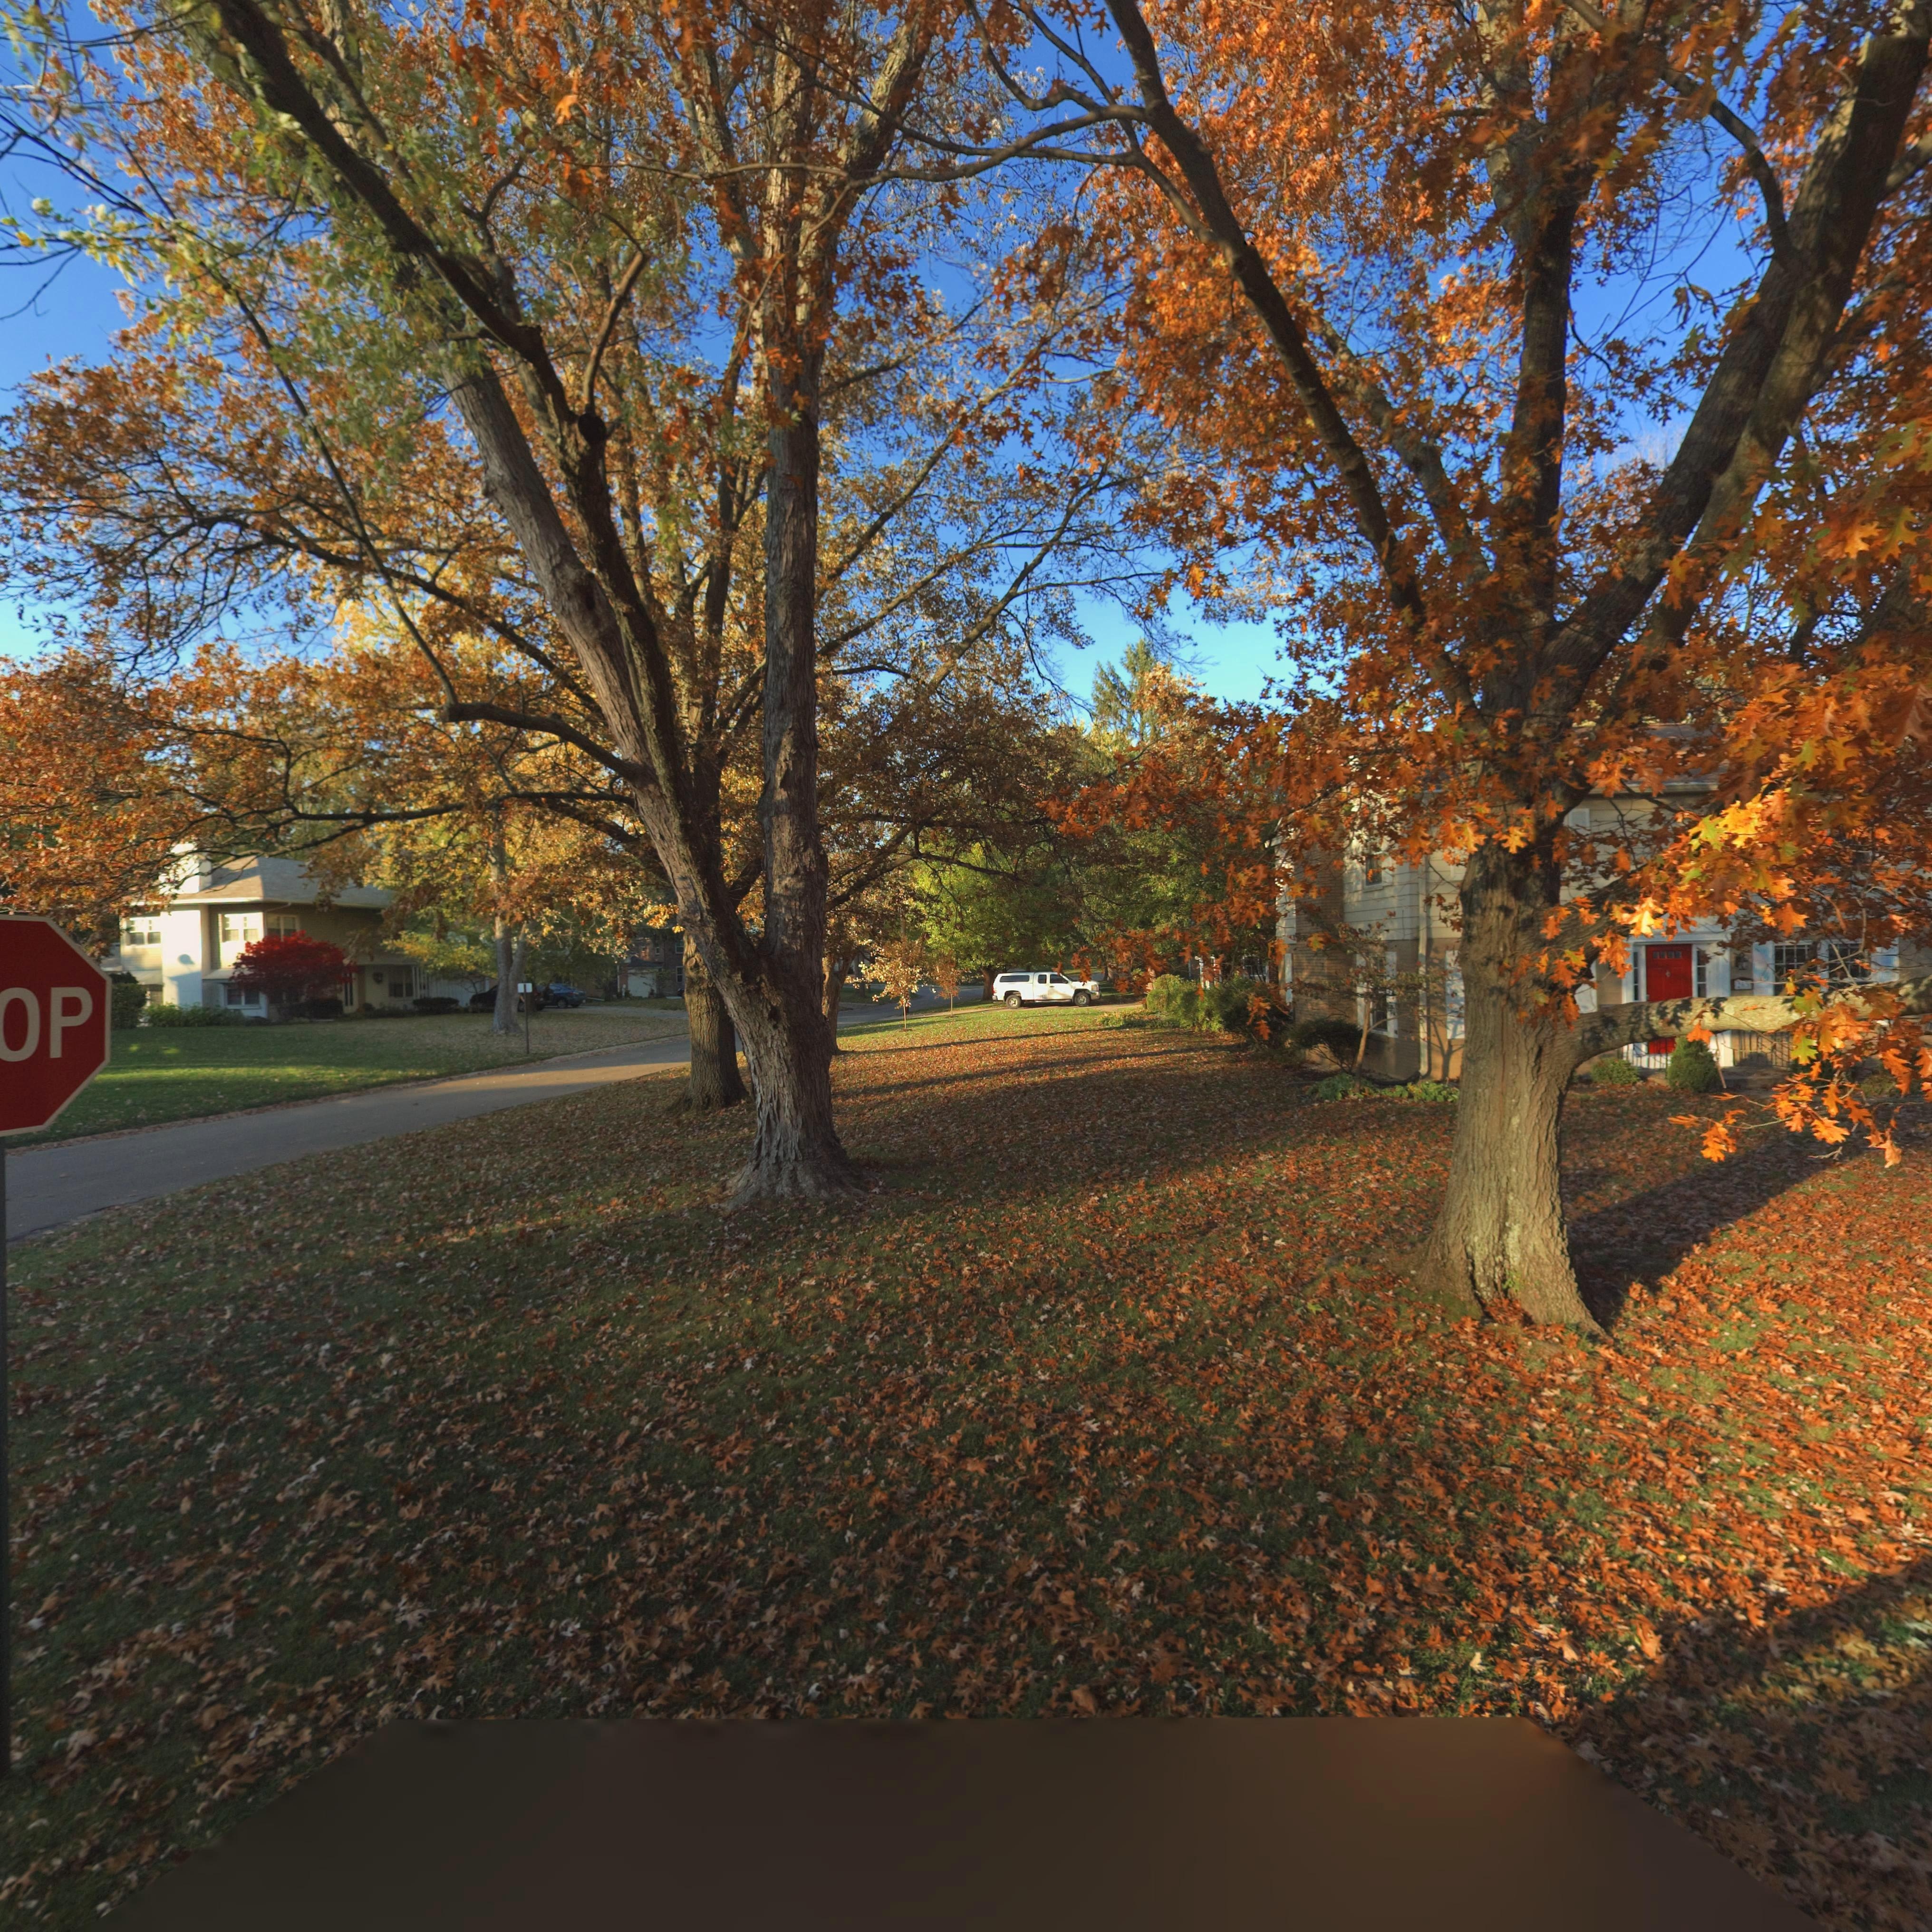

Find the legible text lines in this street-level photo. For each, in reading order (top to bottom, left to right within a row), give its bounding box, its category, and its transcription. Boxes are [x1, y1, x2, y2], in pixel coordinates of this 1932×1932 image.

[1736, 981, 1750, 988] StreetNumber: 265